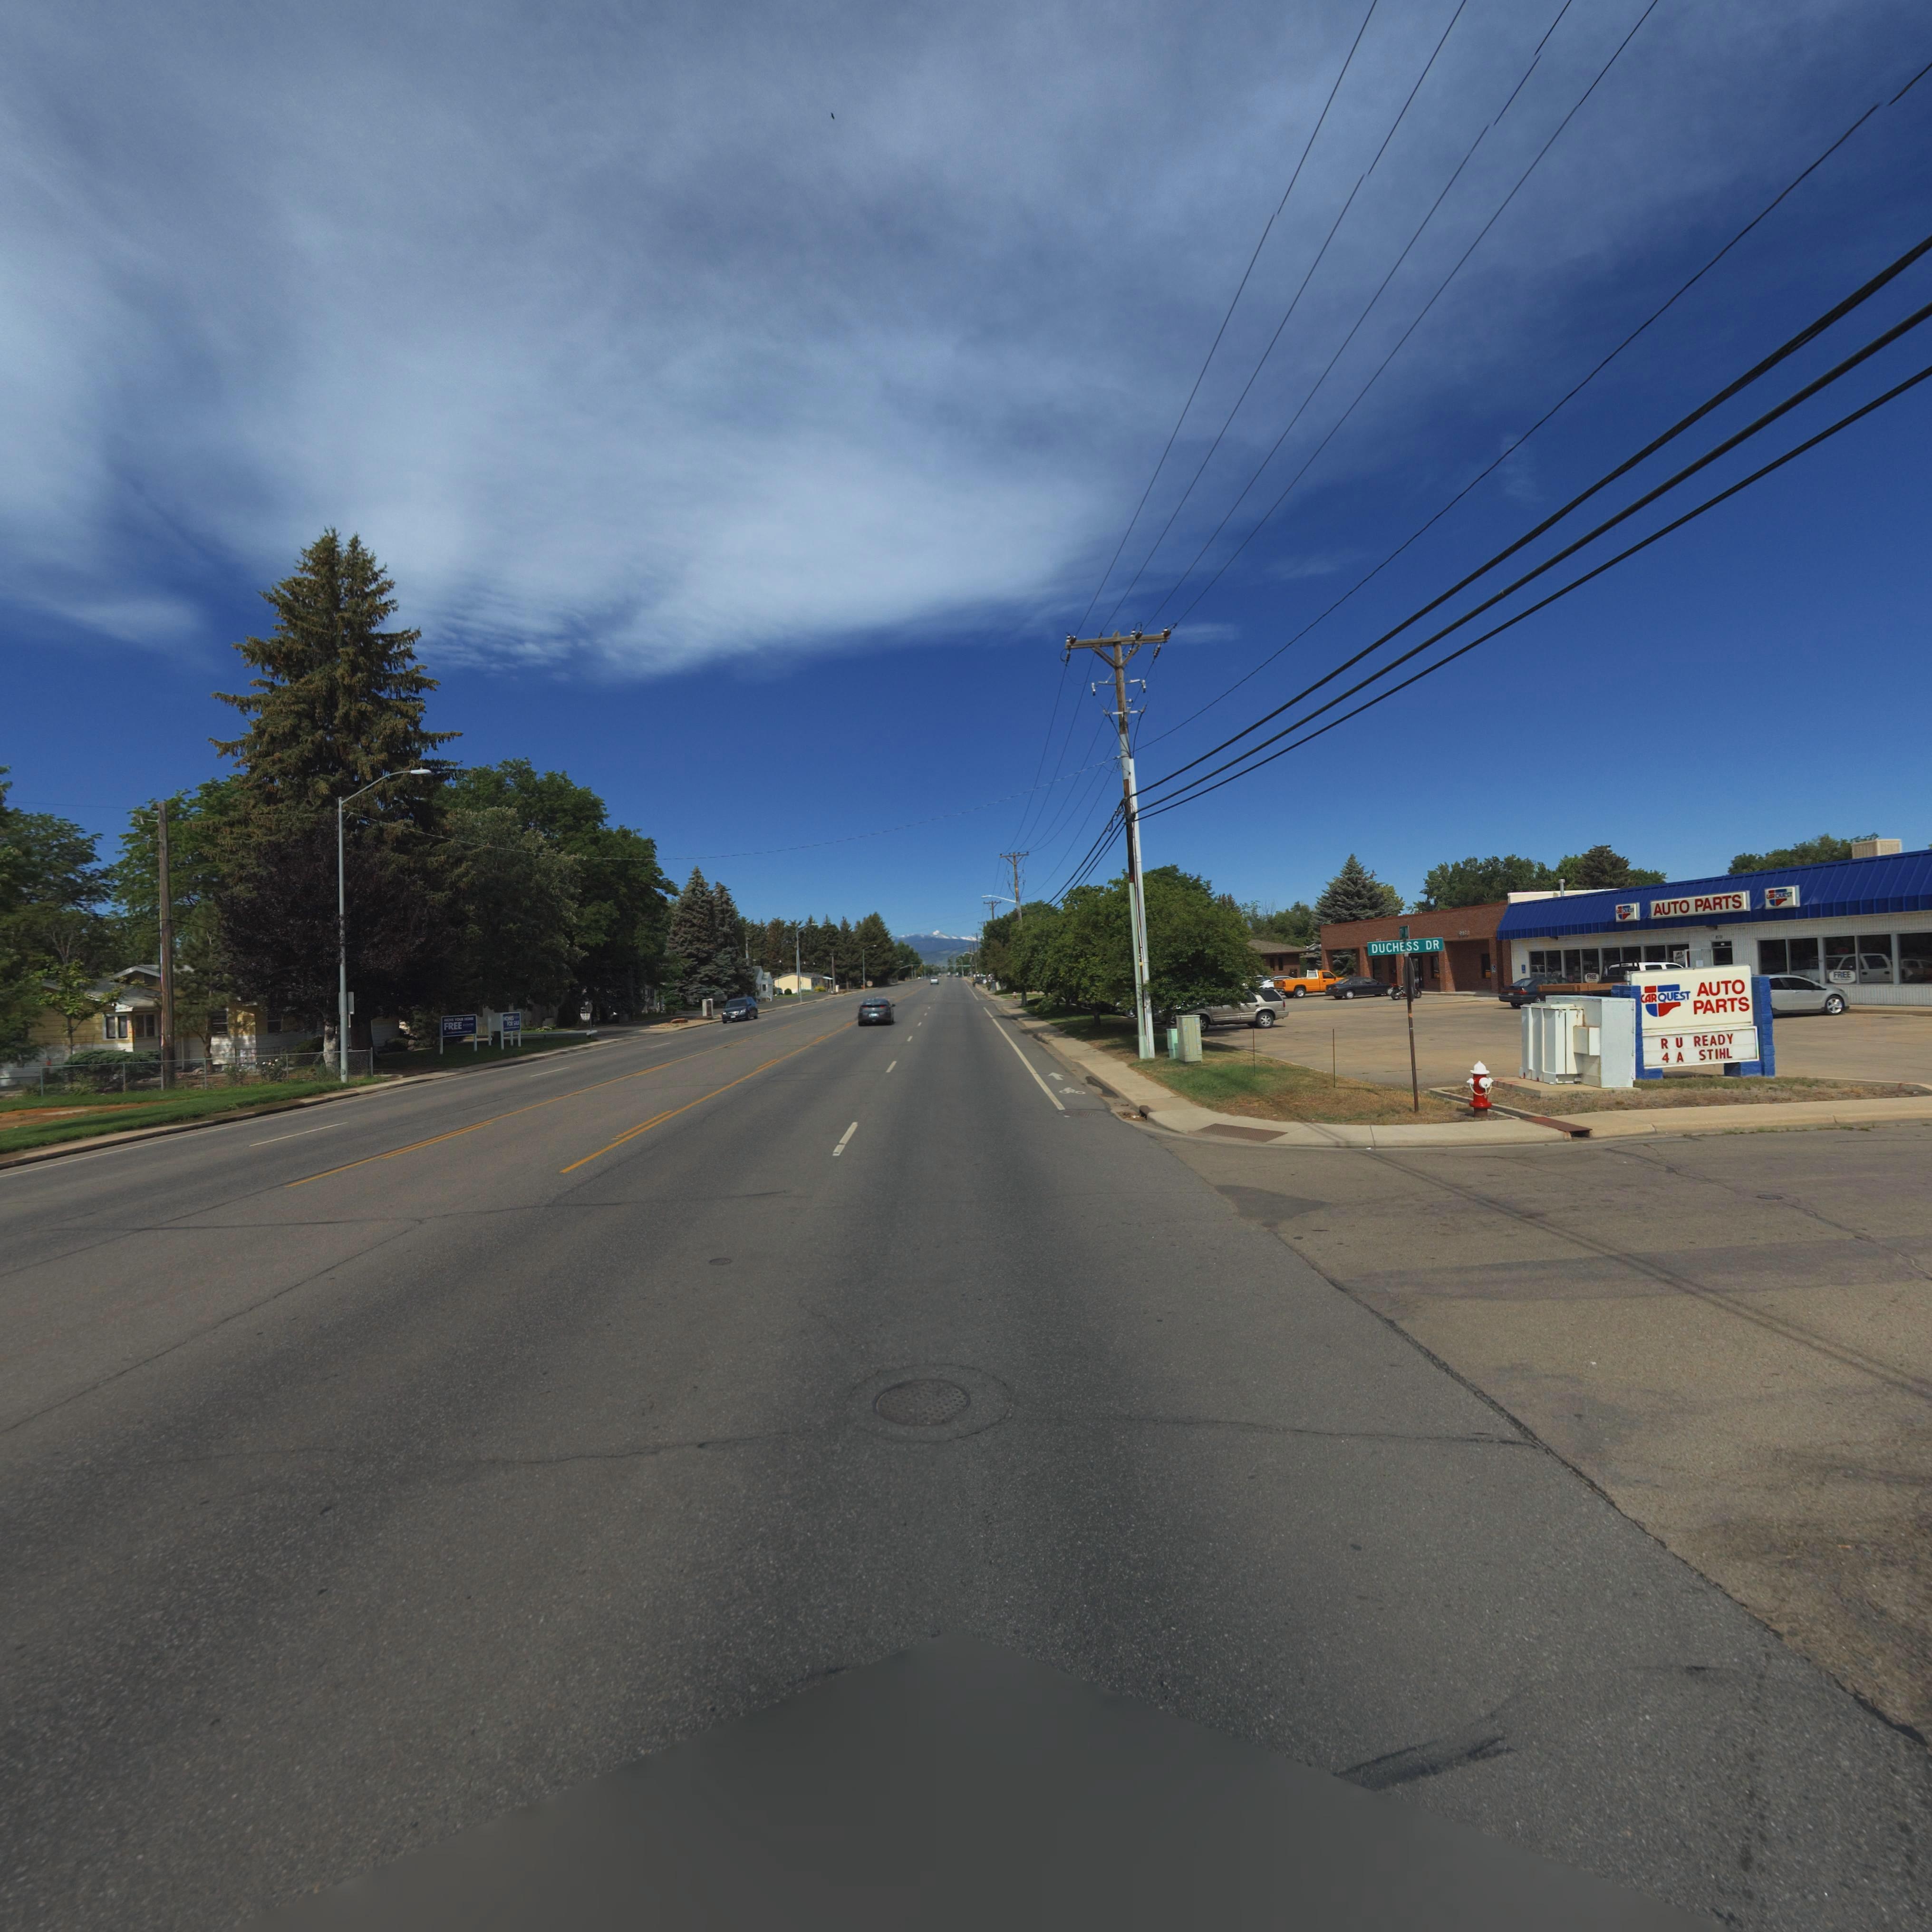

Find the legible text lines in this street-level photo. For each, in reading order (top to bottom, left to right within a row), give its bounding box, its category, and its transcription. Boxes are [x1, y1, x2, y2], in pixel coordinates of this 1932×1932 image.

[1766, 891, 1793, 899] BusinessName: C** QU*ST
[1616, 908, 1634, 914] BusinessName: *** Q**ST
[1652, 893, 1742, 916] BusinessName: AUTO PARTS
[1459, 930, 1469, 936] StreetNumber: 91**
[1371, 939, 1439, 953] StreetName: DUCHESS DR
[1696, 979, 1746, 997] BusinessName: AUTO
[1640, 990, 1691, 1003] BusinessName: CAR QUEST
[1693, 996, 1750, 1015] BusinessName: PARTS